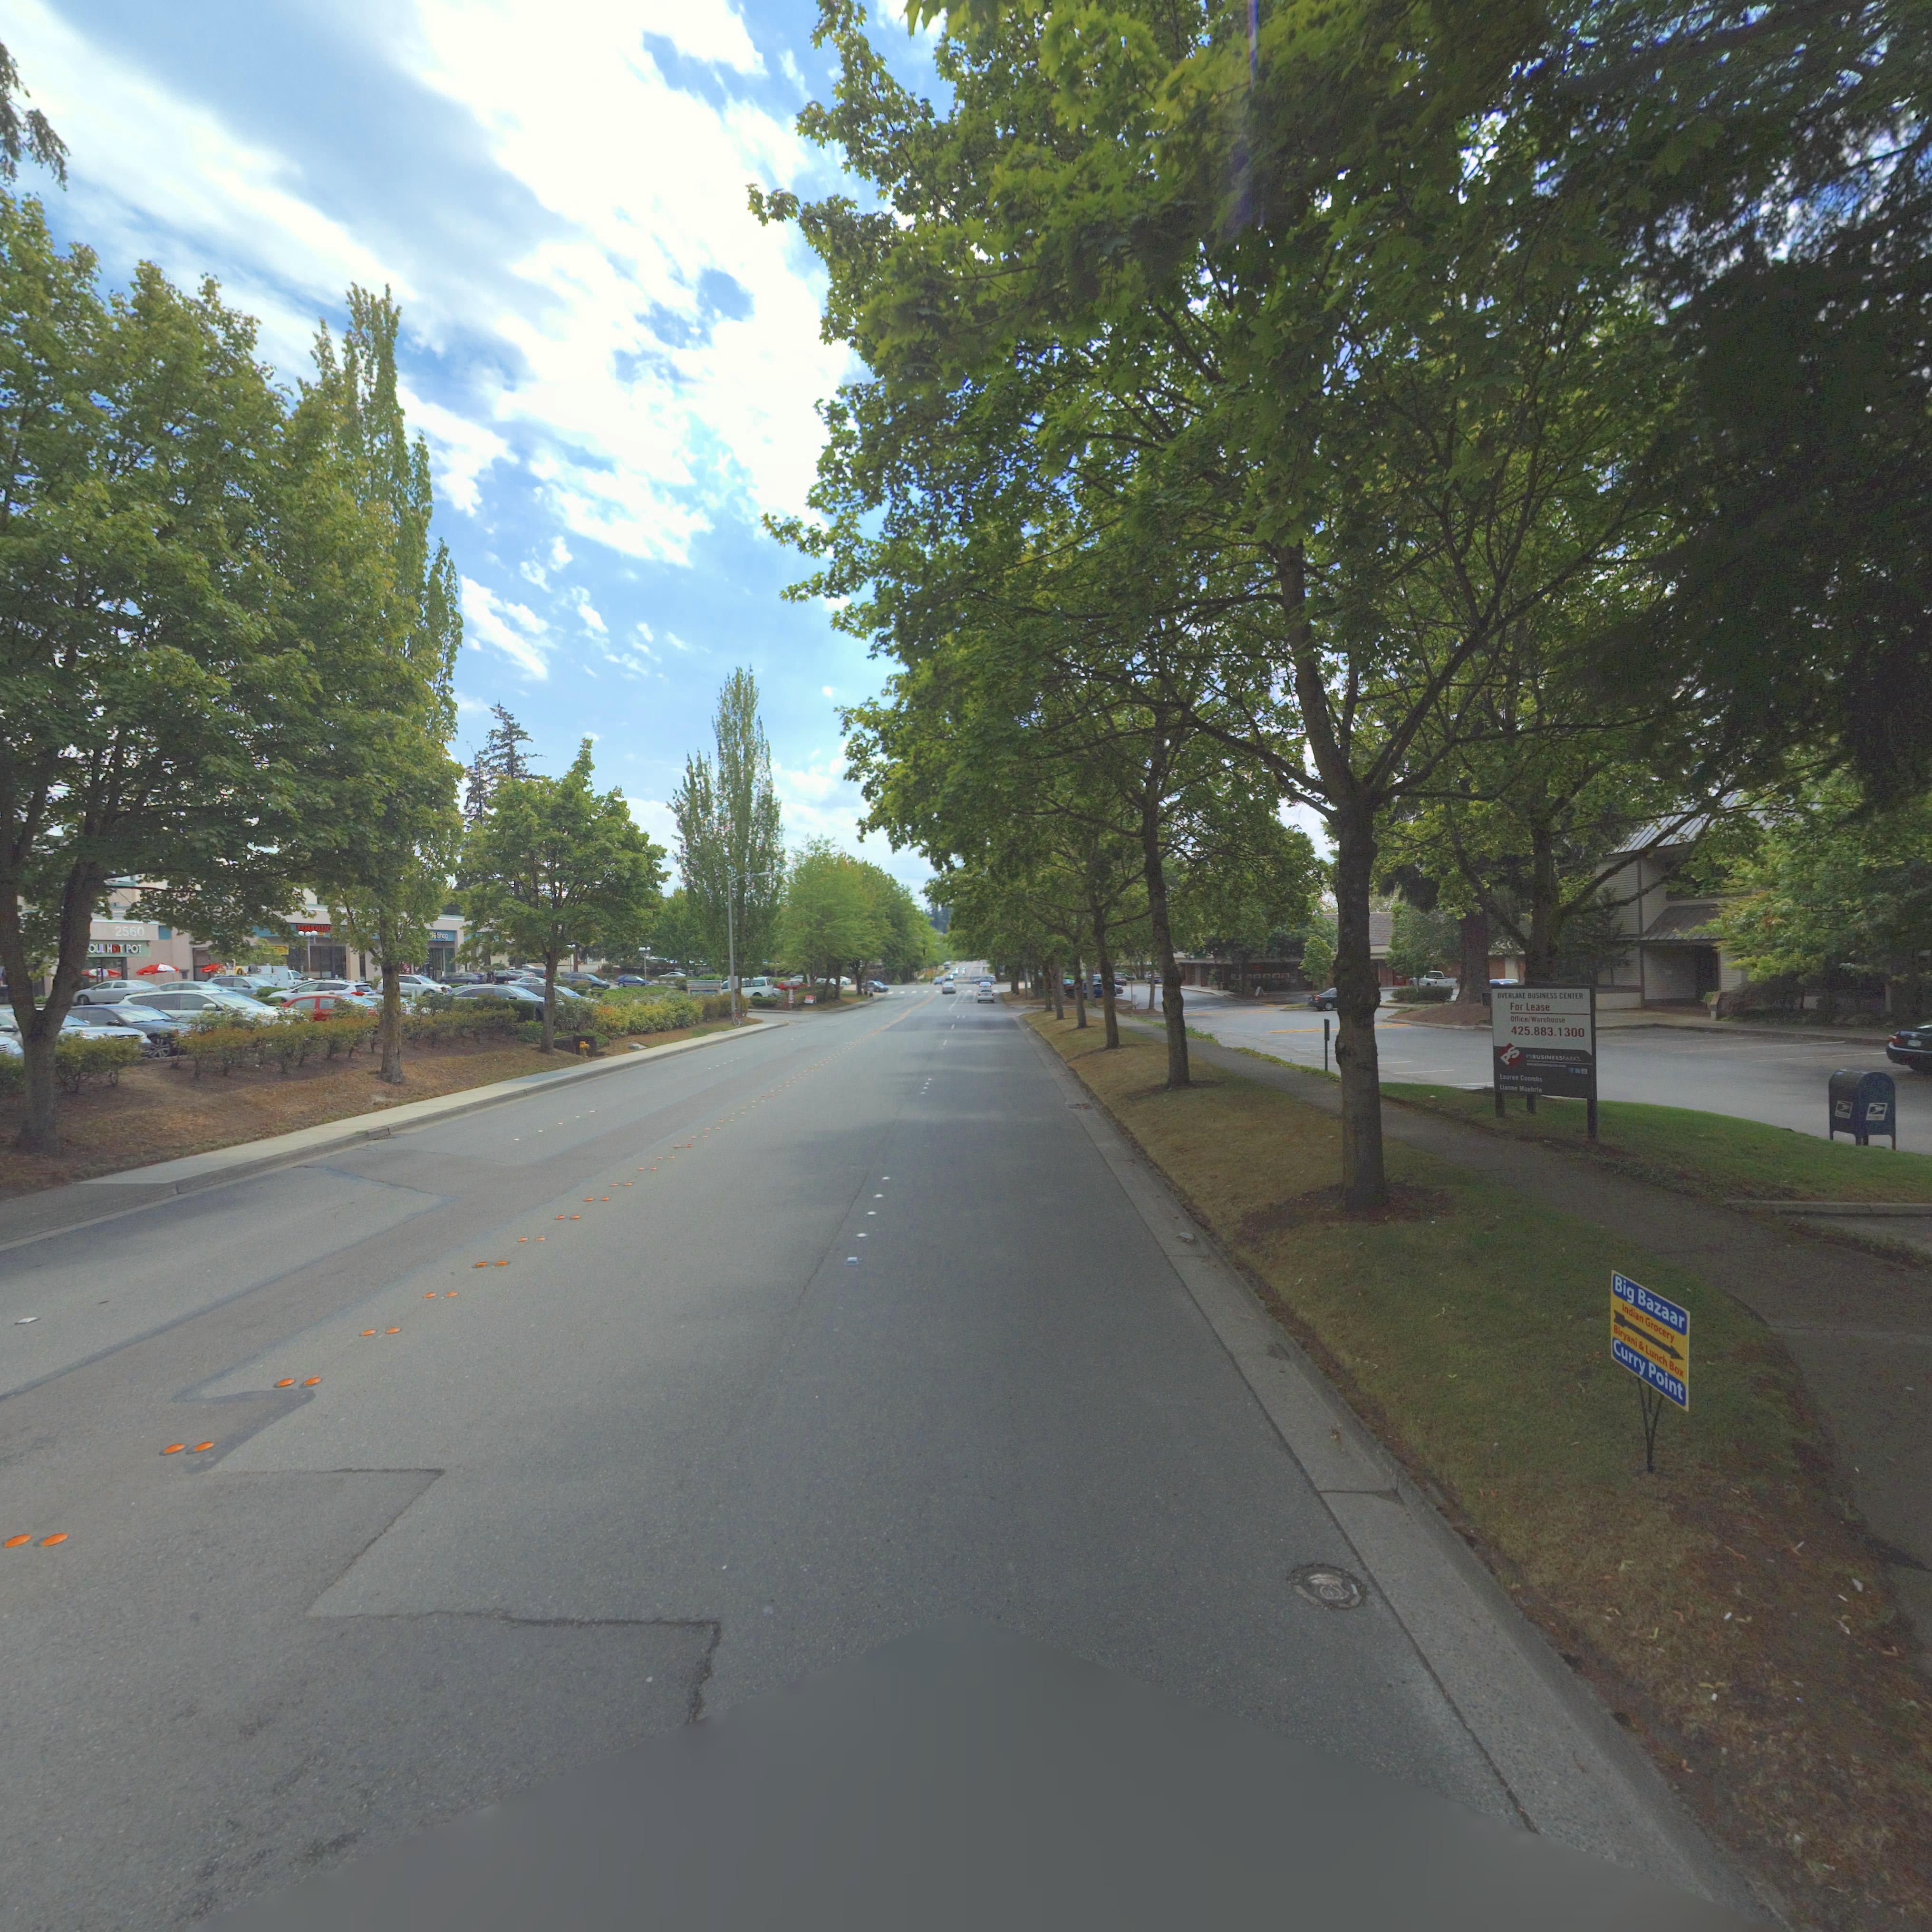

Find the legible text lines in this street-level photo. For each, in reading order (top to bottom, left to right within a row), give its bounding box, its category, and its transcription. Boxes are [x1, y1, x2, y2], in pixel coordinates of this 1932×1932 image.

[115, 926, 145, 937] StreetNumber: 2560
[296, 924, 333, 932] BusinessName: KABAB PALAC*
[429, 931, 449, 942] BusinessName: *le Shop
[89, 943, 141, 953] BusinessName: OUL HOT POT
[1615, 1275, 1684, 1330] BusinessName: Big Bazaar
[1613, 1323, 1684, 1379] BusinessName: Biryani * Lunch Box
[1612, 1336, 1685, 1403] BusinessName: Curry Point